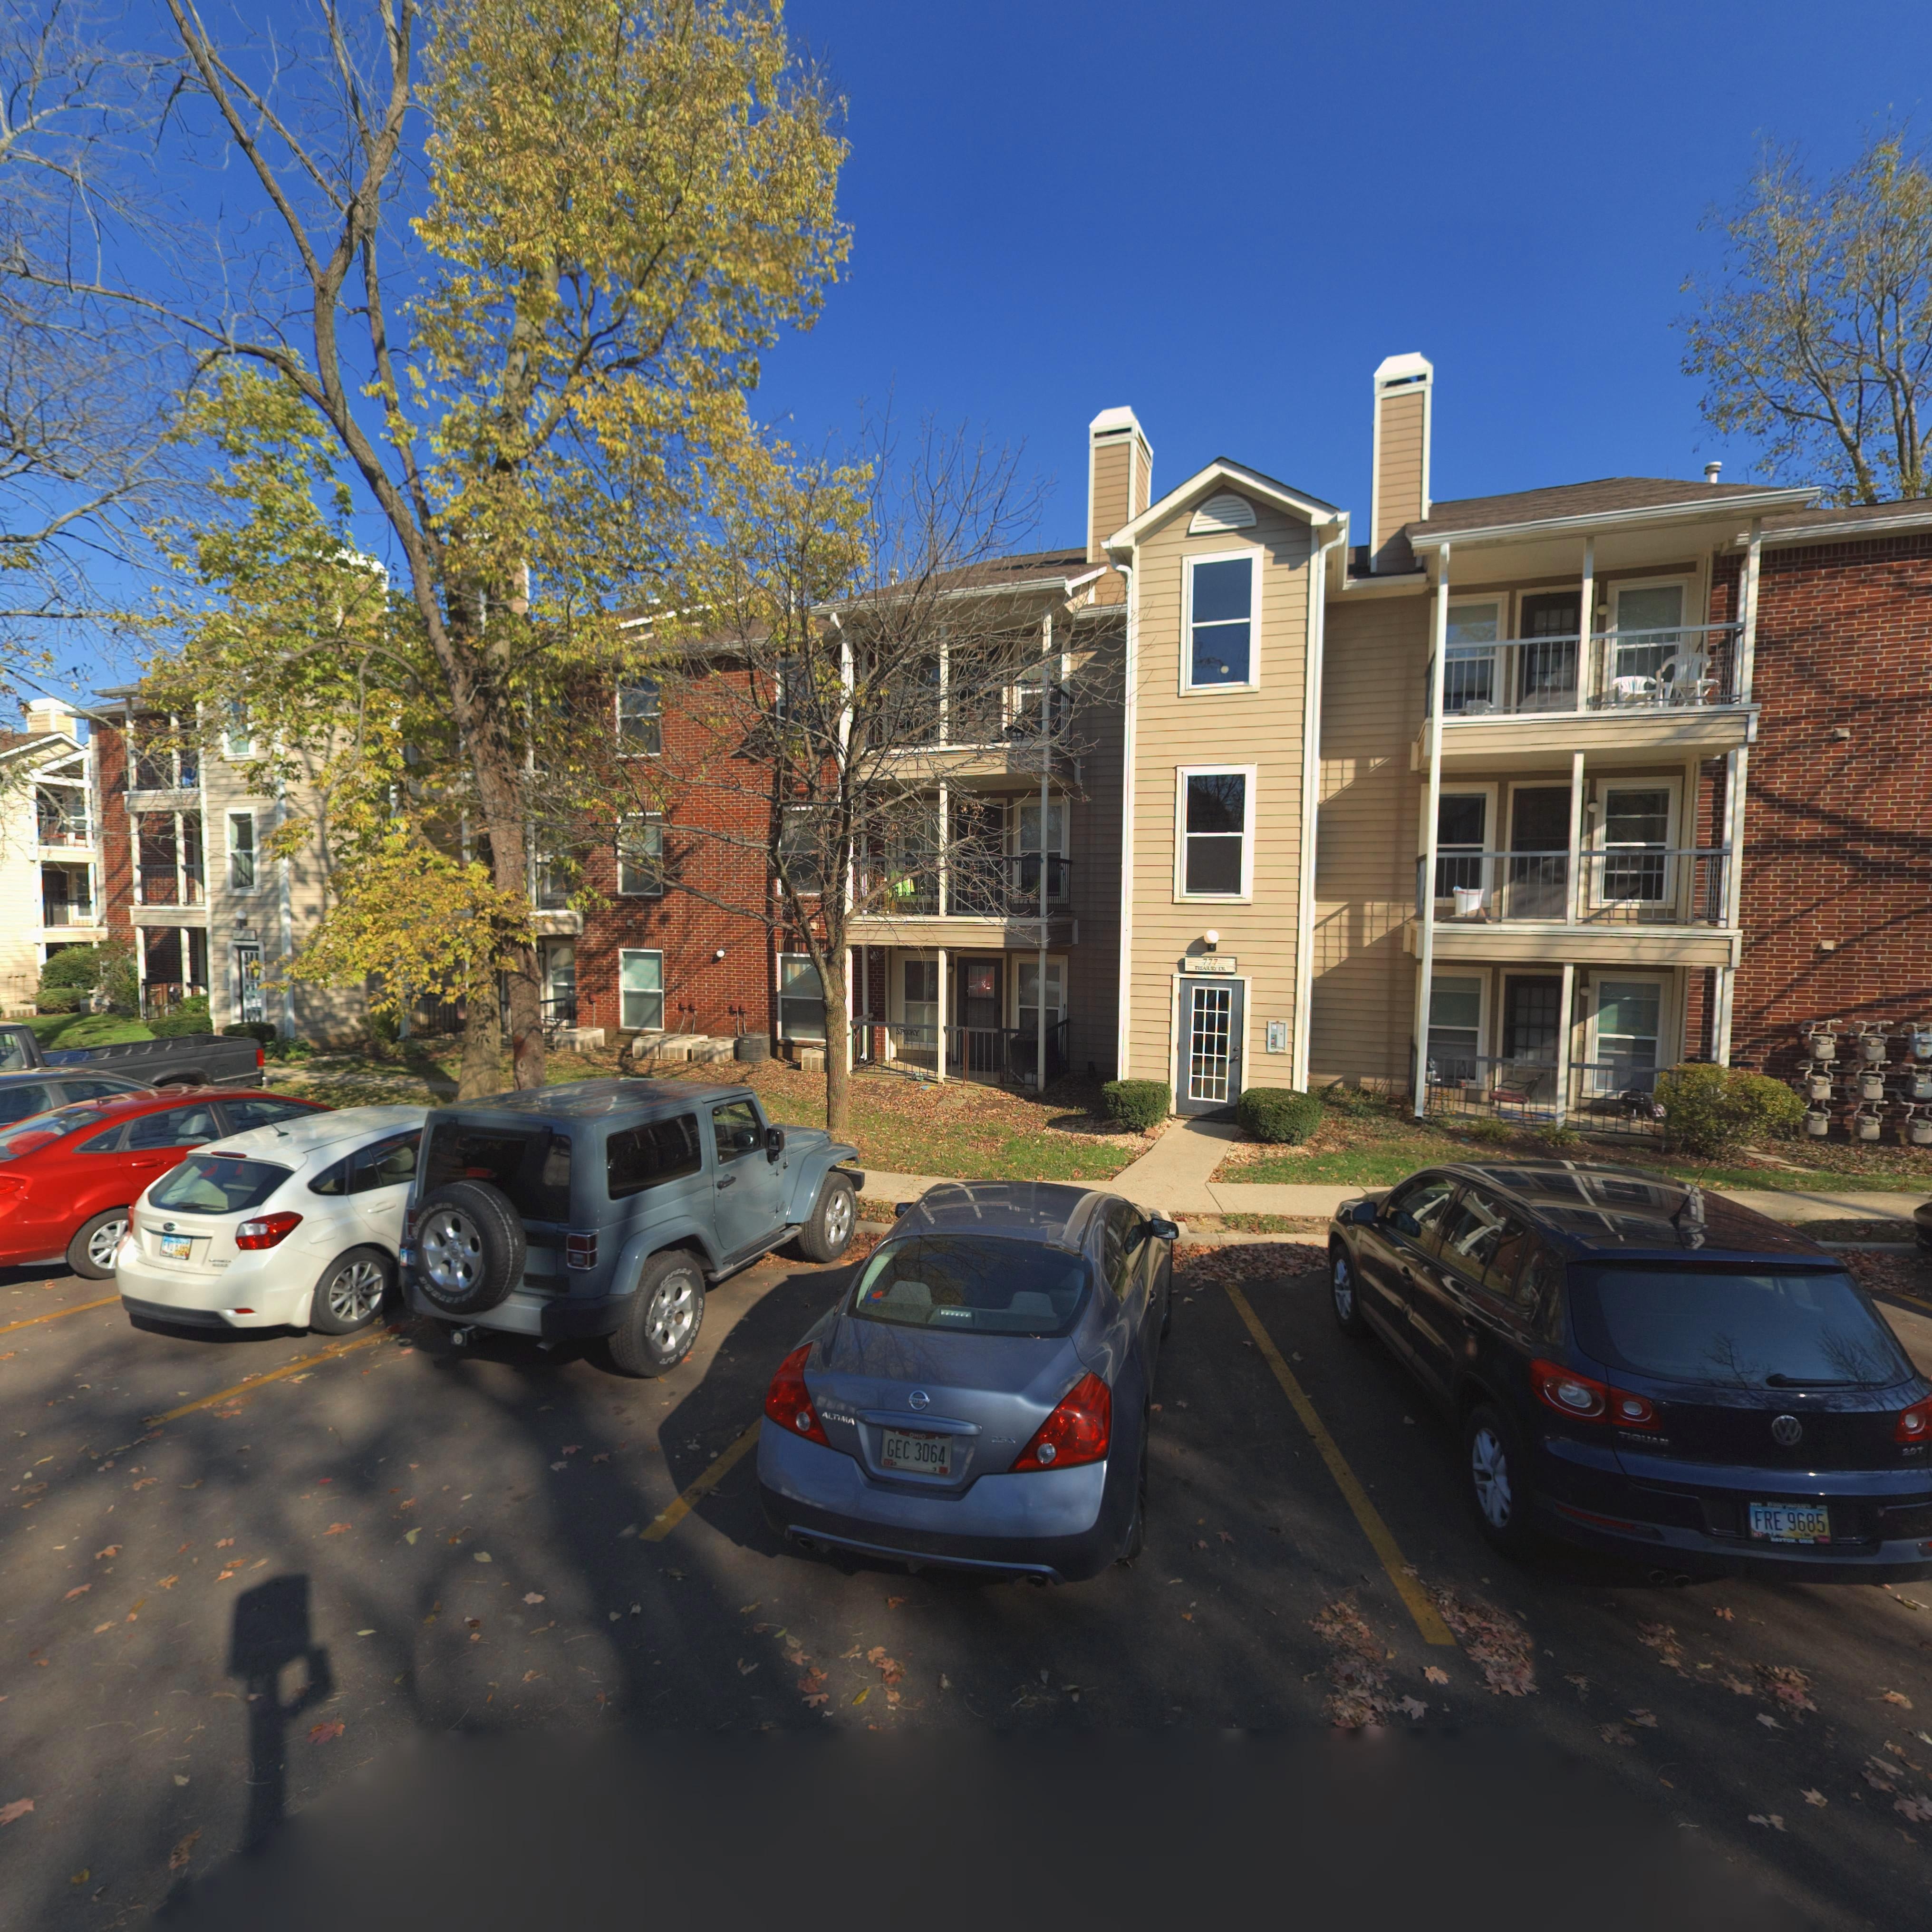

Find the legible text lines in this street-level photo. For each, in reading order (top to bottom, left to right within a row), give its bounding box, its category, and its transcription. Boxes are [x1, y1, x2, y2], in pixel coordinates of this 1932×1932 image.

[1202, 957, 1219, 966] StreetNumber: 777
[821, 1410, 856, 1426] None: ALTIMA
[908, 1431, 927, 1440] None: O**O
[990, 1434, 1017, 1445] None: 25*
[1616, 1430, 1670, 1448] None: T*GUA*
[886, 1438, 947, 1465] None: GEC 3064
[1901, 1444, 1926, 1458] None: 20*
[884, 1459, 893, 1467] None: *7
[1754, 1509, 1826, 1534] None: FRE 9685